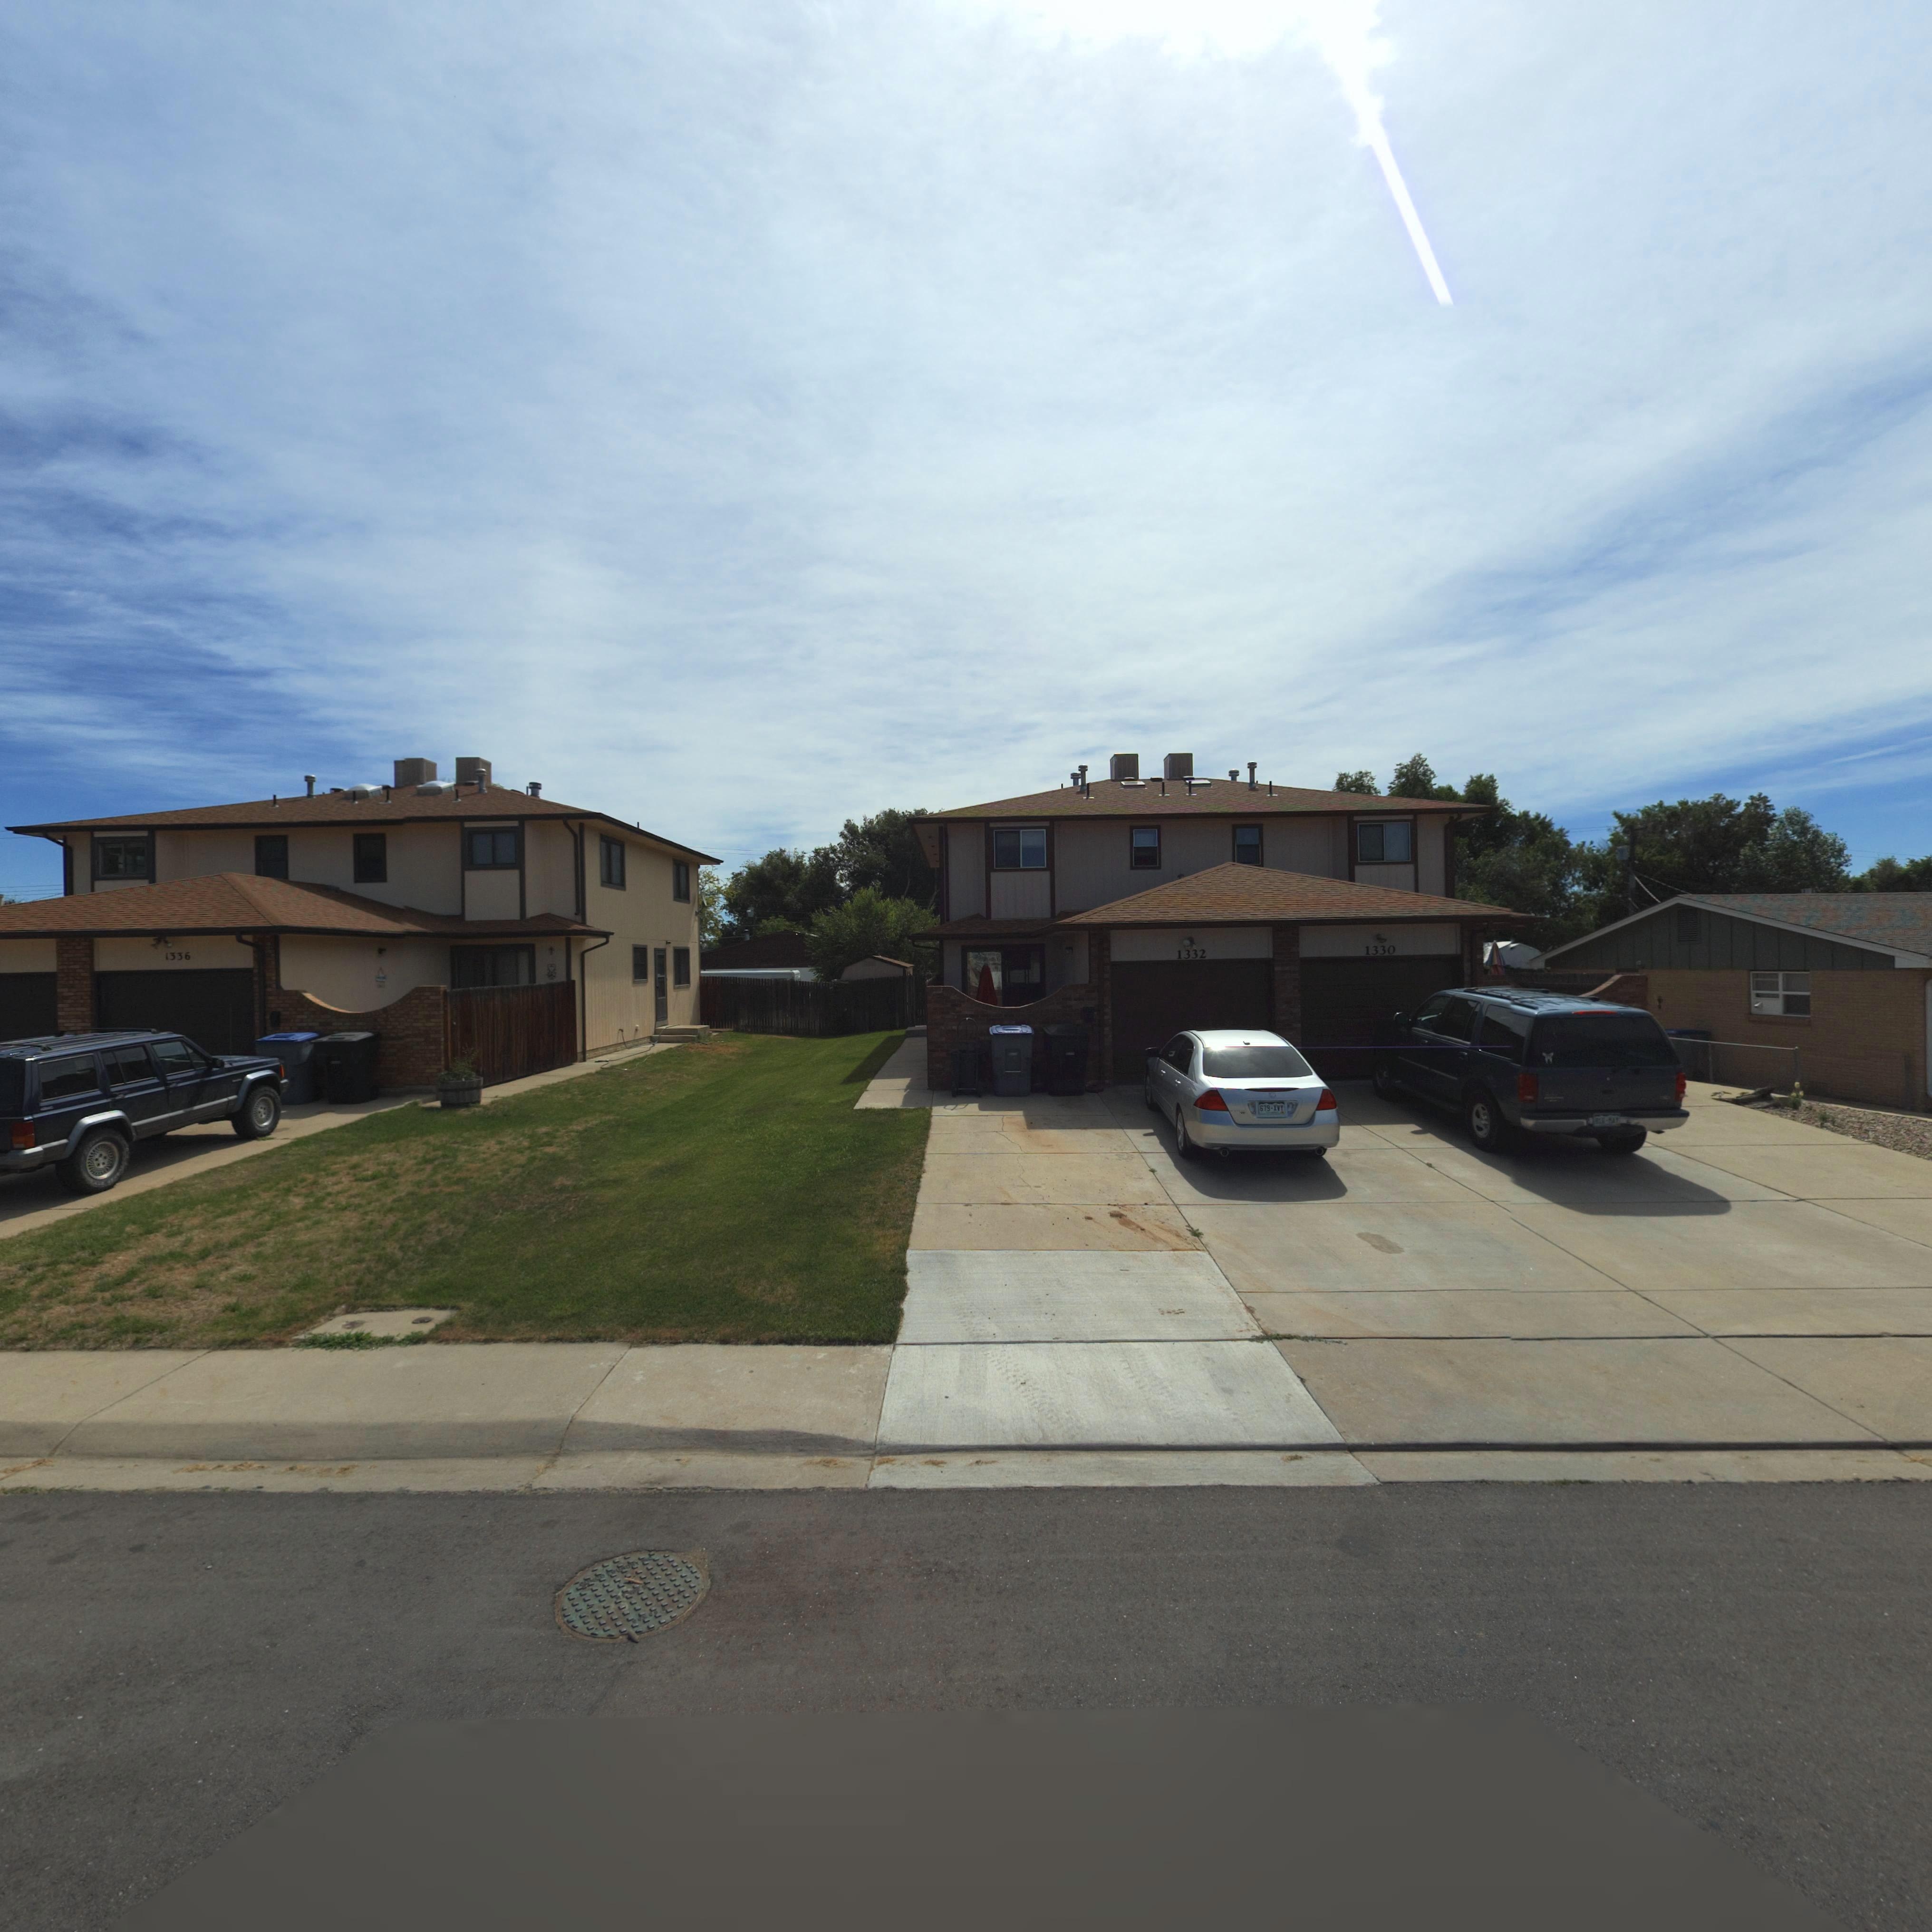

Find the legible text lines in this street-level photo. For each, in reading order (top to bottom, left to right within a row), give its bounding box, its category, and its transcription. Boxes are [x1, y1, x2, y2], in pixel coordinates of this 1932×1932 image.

[165, 951, 191, 960] StreetNumber: 1336
[1176, 948, 1207, 959] StreetNumber: 1332
[1364, 945, 1395, 955] StreetNumber: 1330